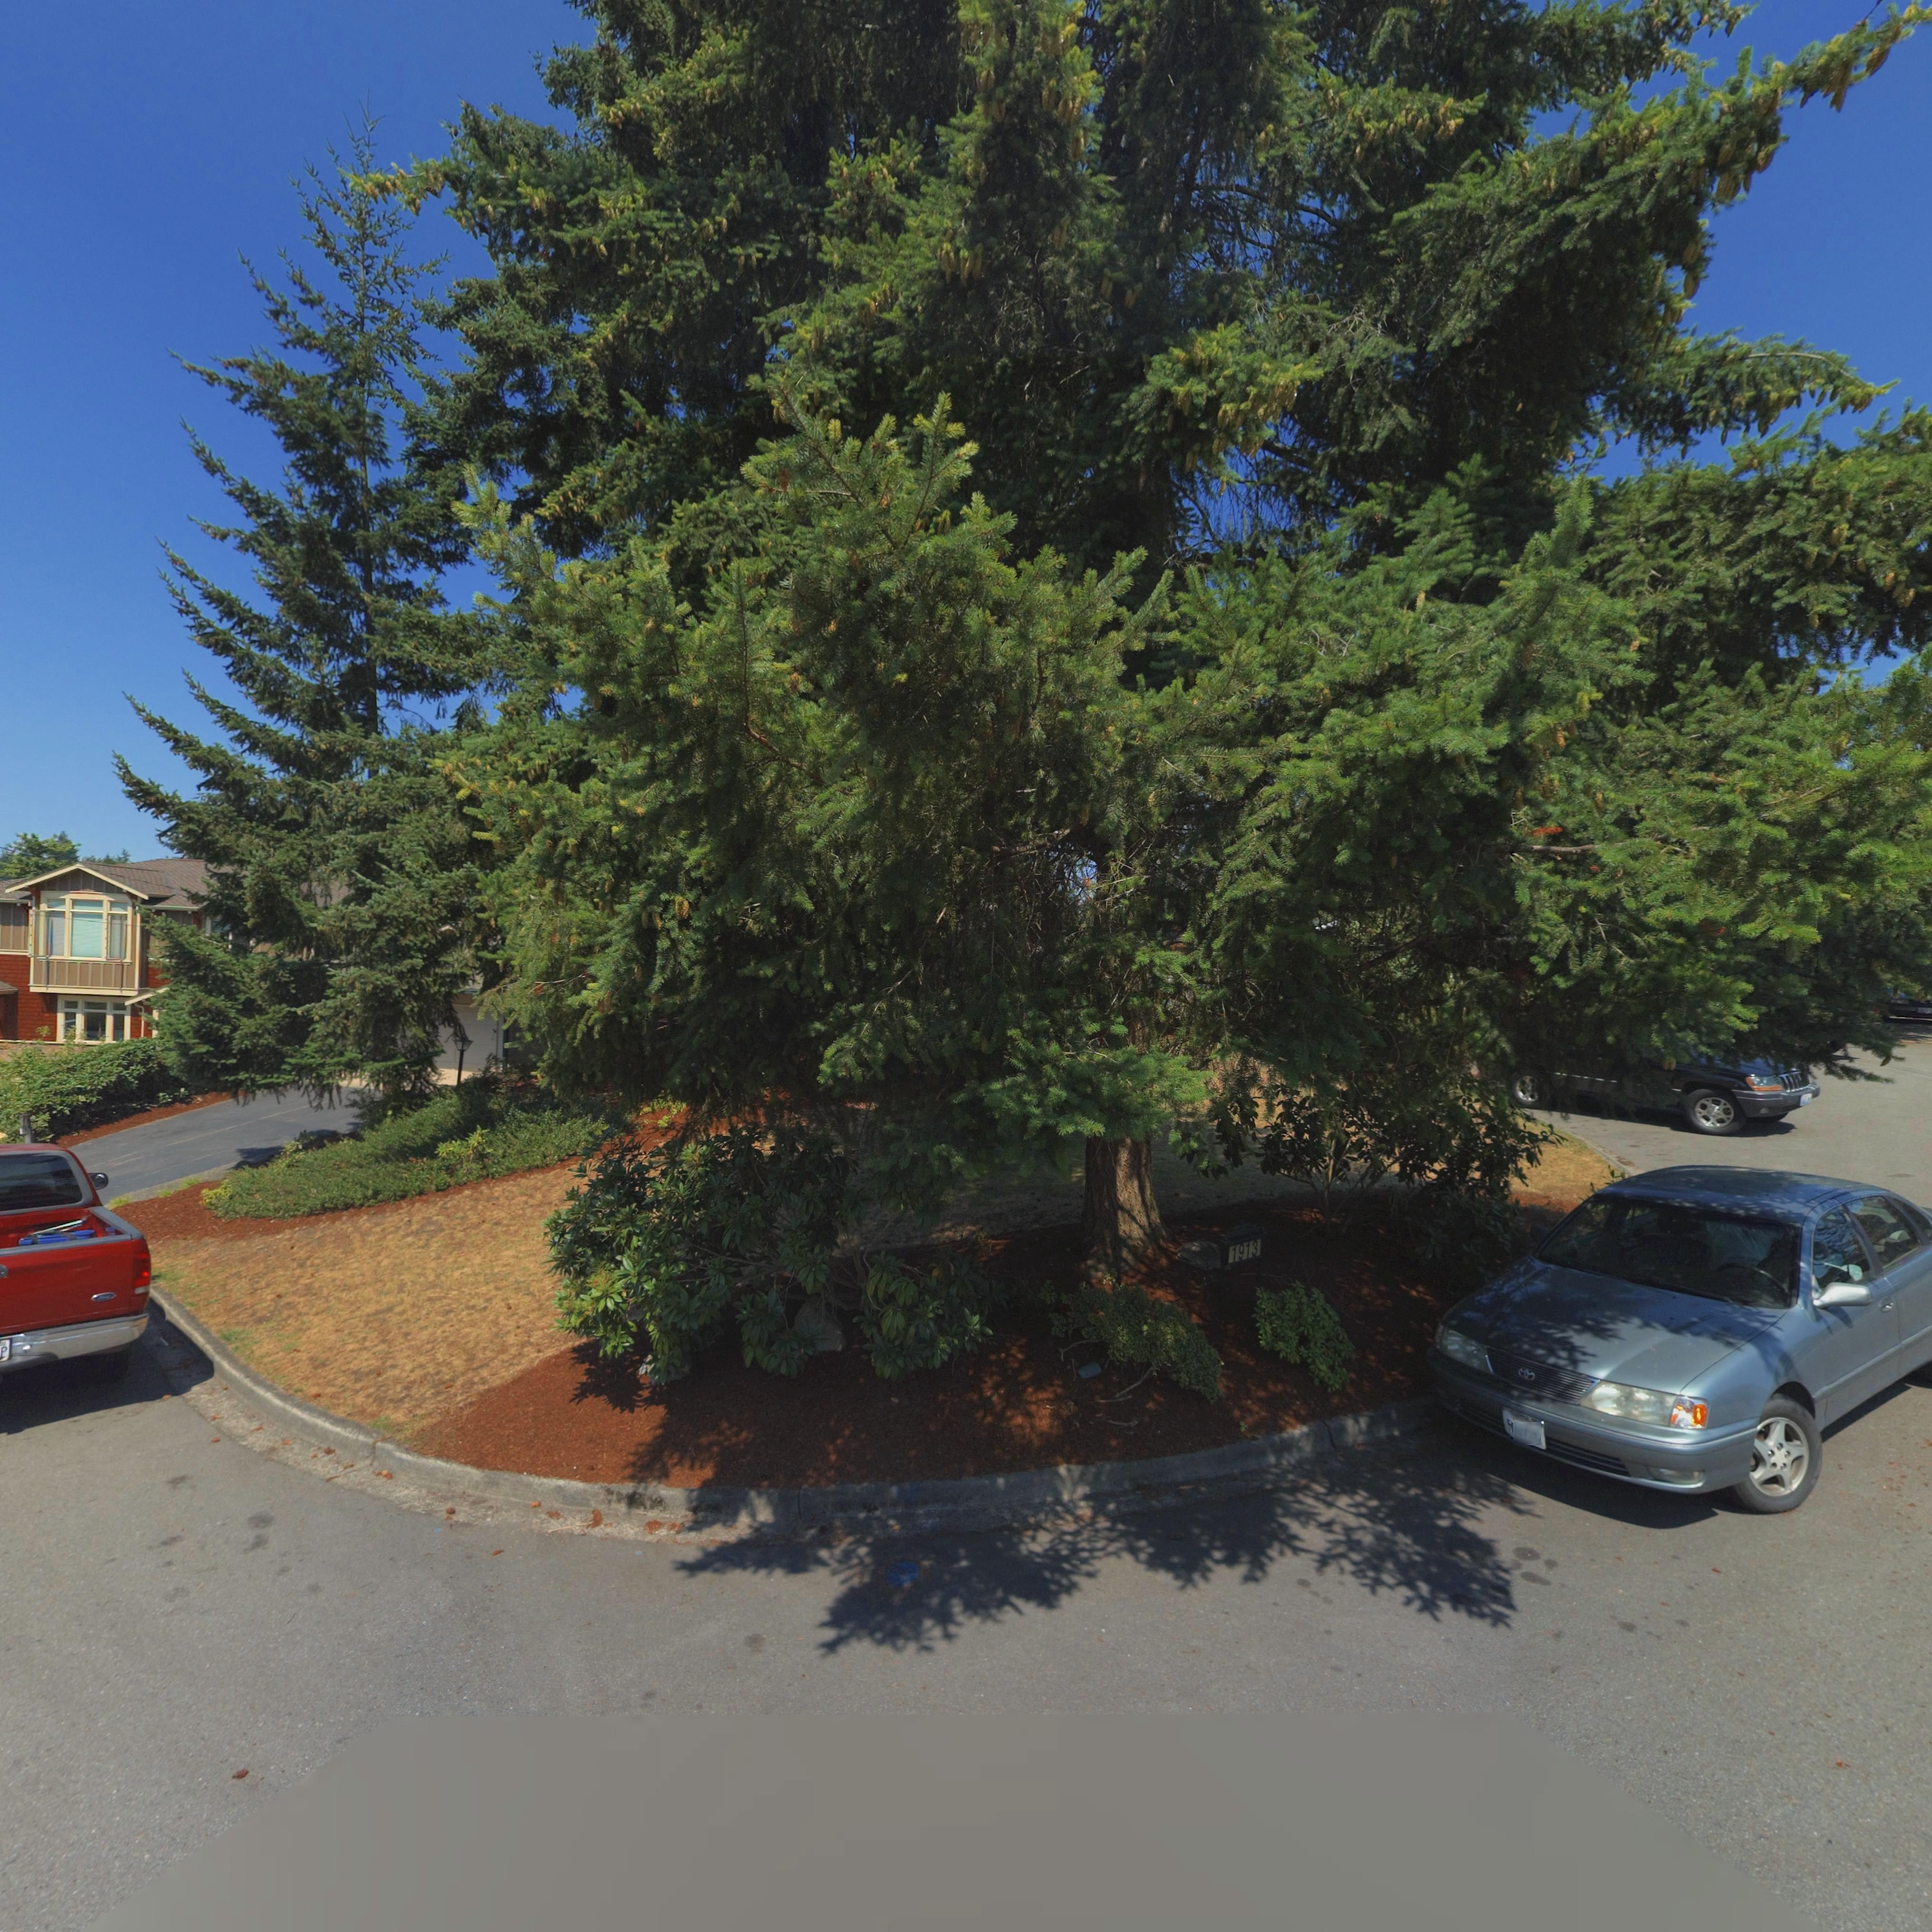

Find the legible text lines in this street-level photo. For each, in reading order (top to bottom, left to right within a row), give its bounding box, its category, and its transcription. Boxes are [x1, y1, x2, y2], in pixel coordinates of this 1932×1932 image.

[1231, 1238, 1259, 1264] StreetNumber: 1913